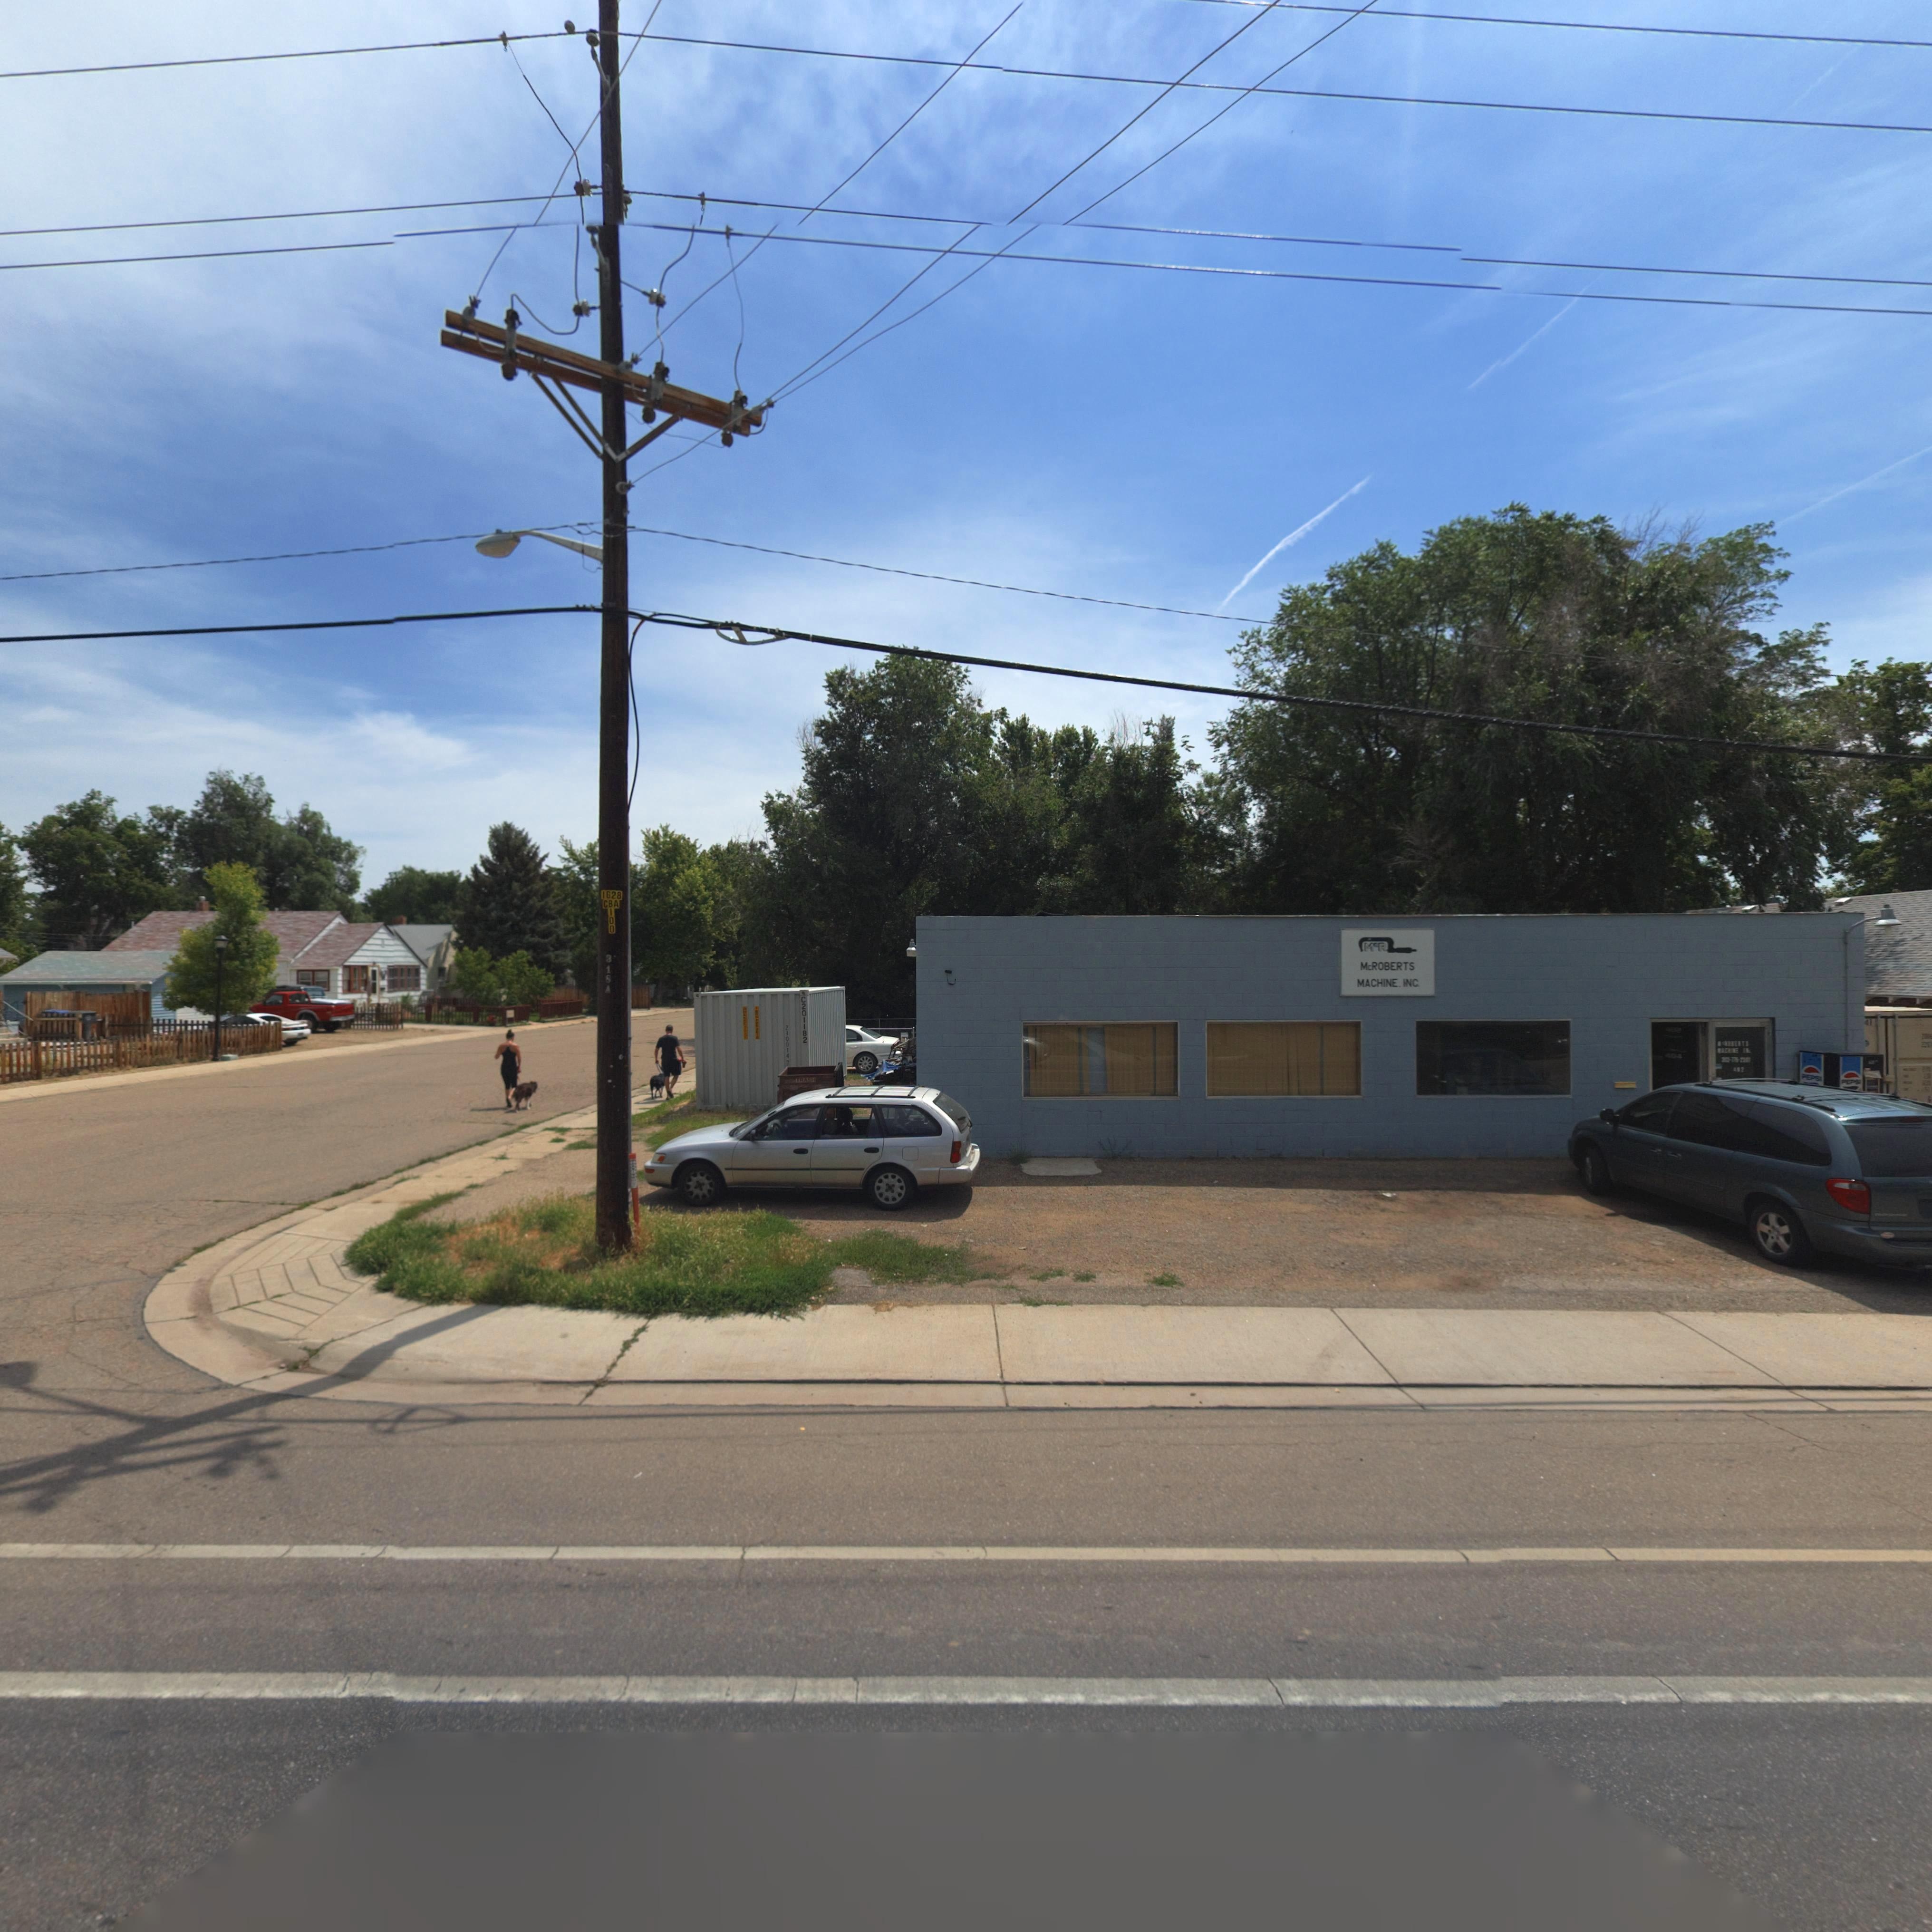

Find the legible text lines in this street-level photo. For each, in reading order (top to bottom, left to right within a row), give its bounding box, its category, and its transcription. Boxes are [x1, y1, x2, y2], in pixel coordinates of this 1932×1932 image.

[1364, 941, 1386, 952] BusinessName: M*R
[1360, 961, 1416, 971] BusinessName: McROBERTS
[1356, 978, 1420, 987] BusinessName: MACHINE INC
[1717, 1040, 1749, 1047] BusinessName: McROBERTS
[1716, 1047, 1751, 1053] BusinessName: MACHINE INc
[1731, 1065, 1745, 1073] StreetNumber: 402